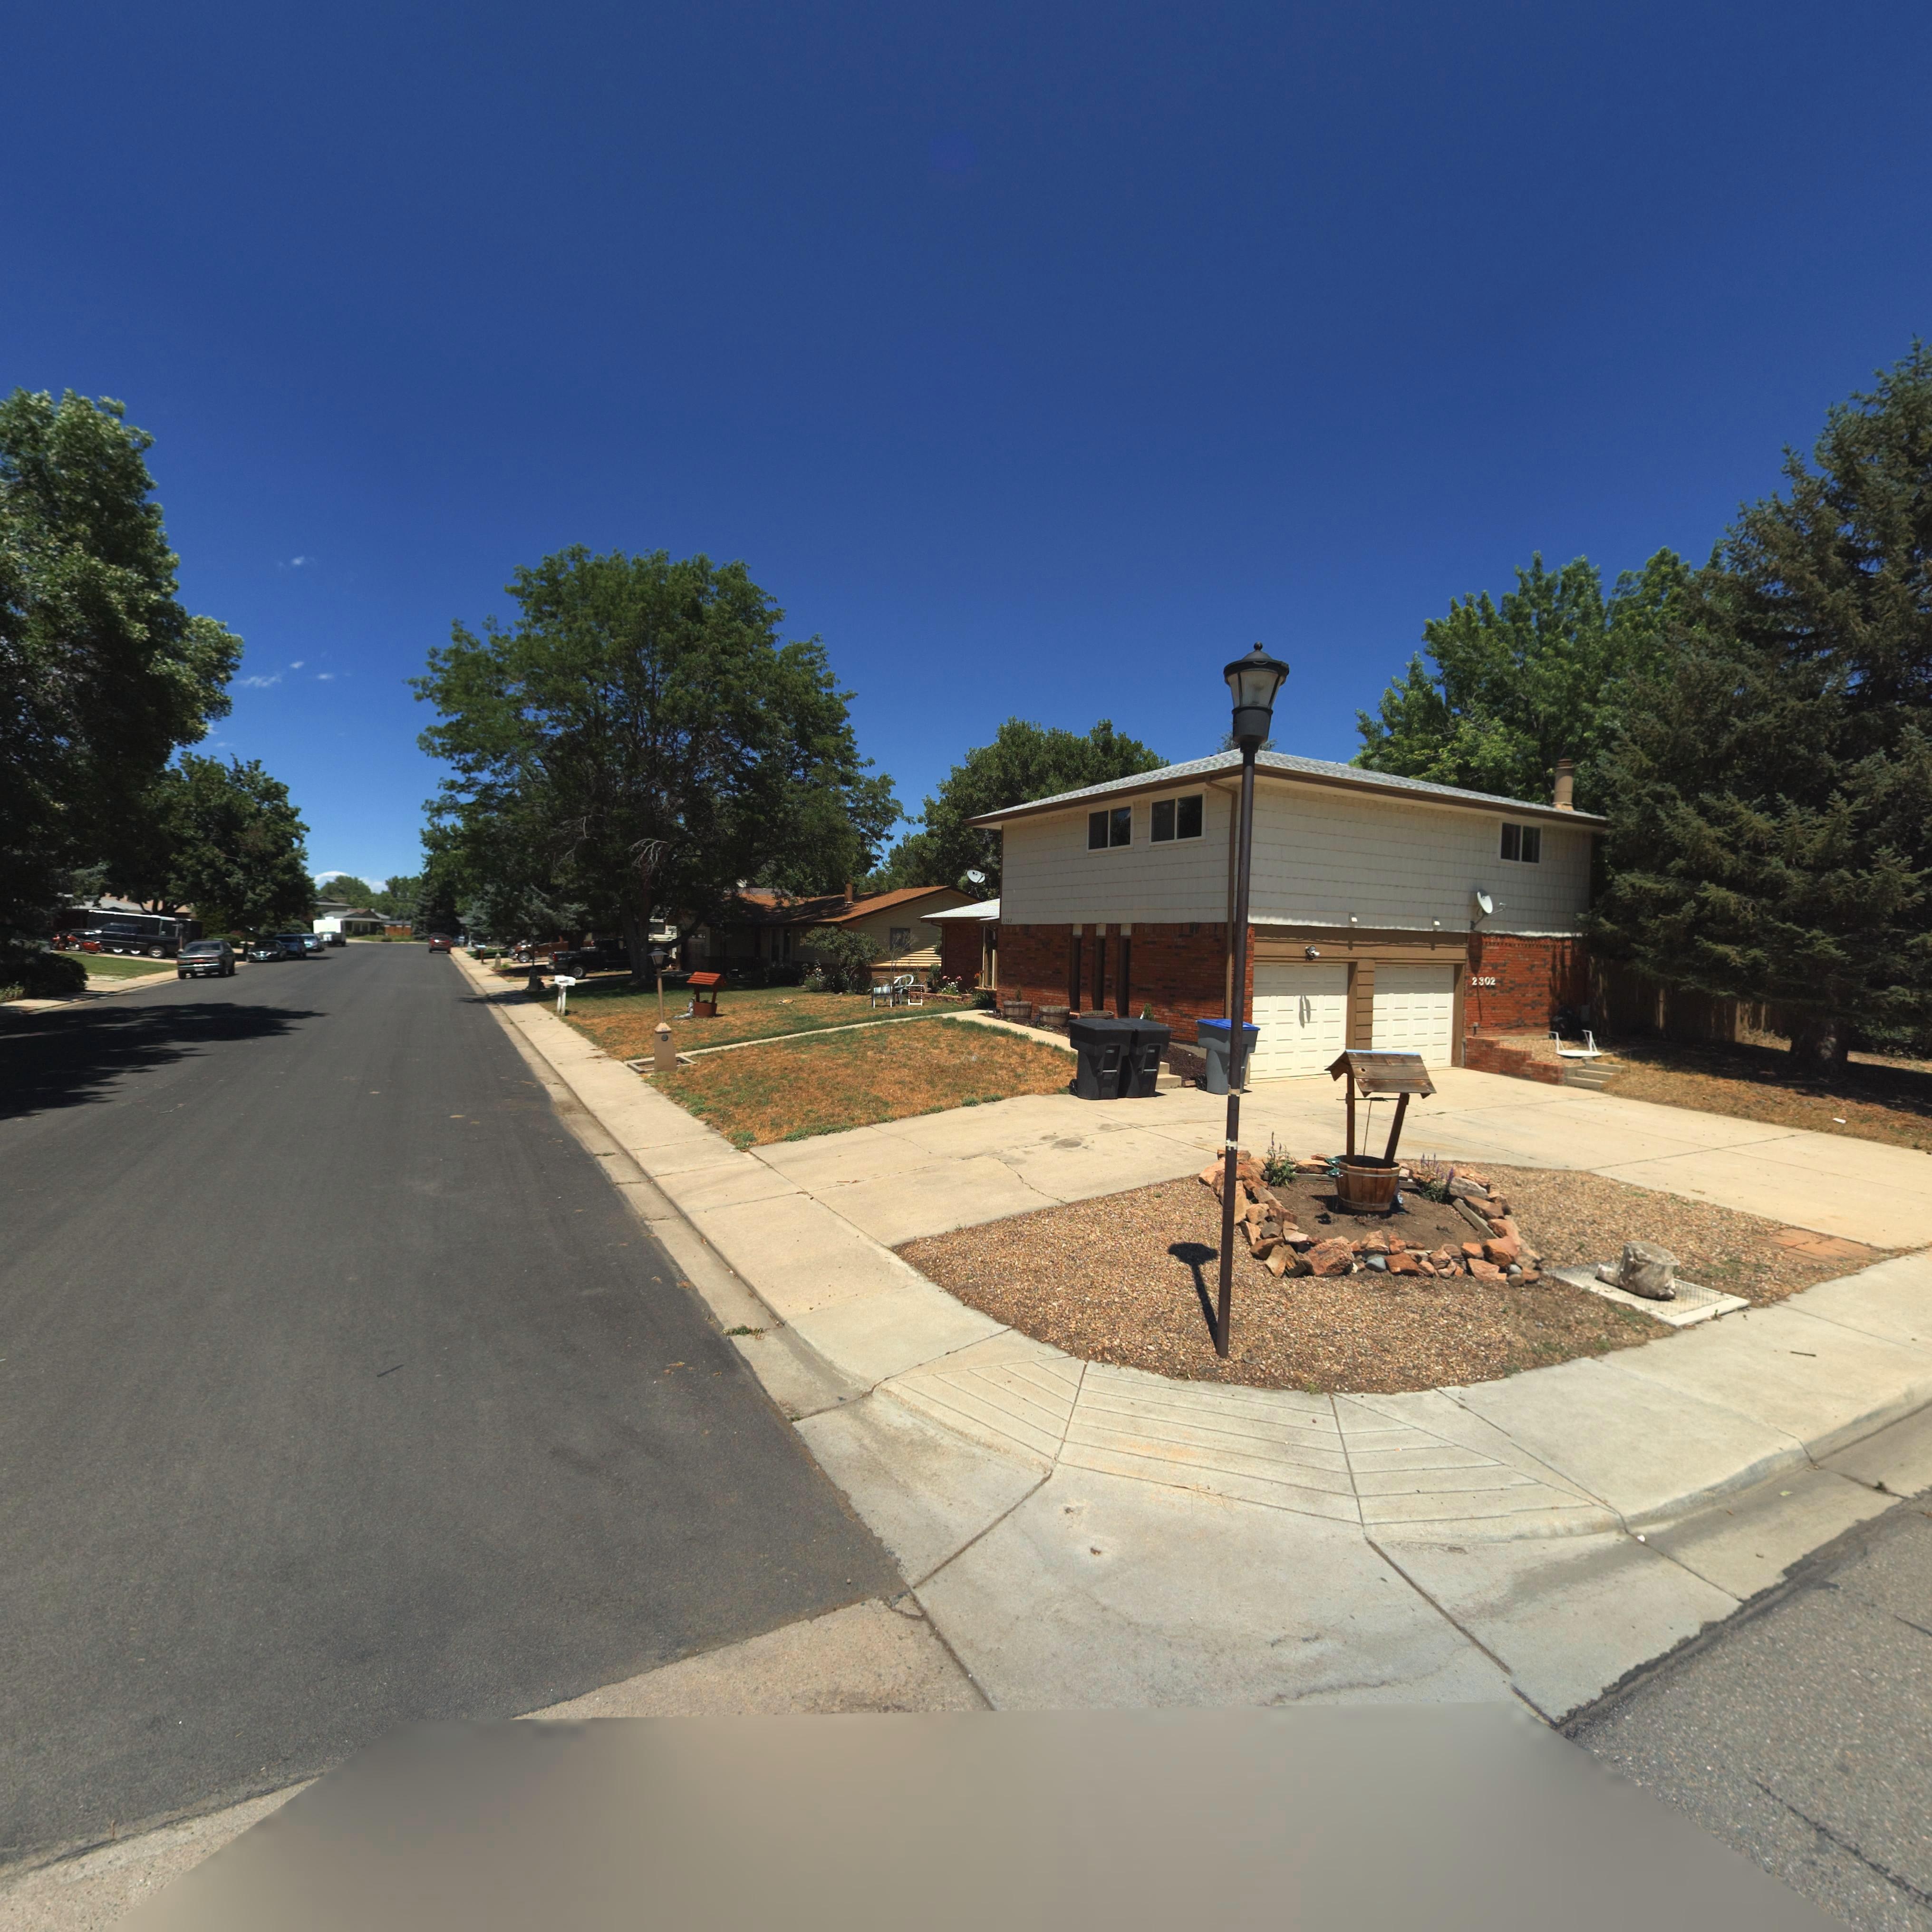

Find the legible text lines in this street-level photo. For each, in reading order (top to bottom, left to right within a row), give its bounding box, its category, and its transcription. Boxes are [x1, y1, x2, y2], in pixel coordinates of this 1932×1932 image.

[1003, 918, 1012, 923] StreetNumber: 2302
[1471, 976, 1496, 985] StreetNumber: 2302